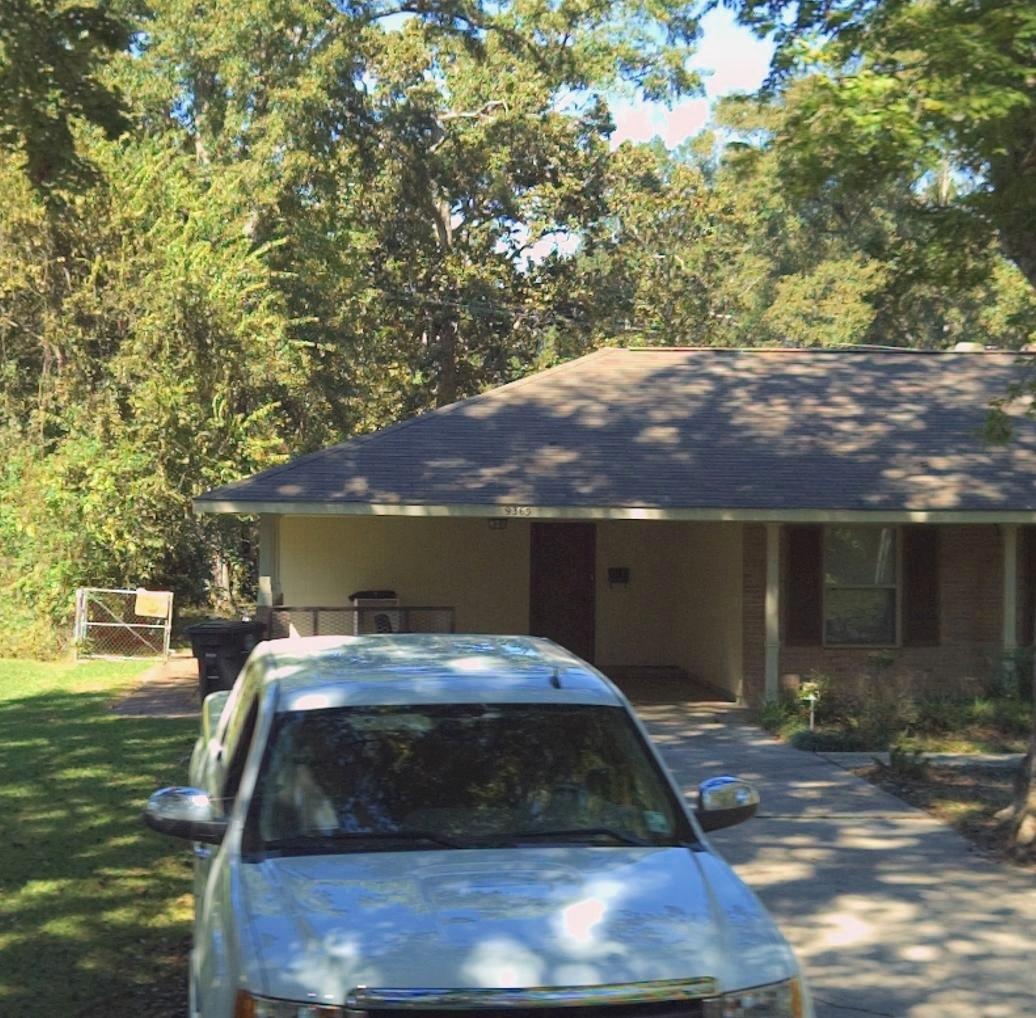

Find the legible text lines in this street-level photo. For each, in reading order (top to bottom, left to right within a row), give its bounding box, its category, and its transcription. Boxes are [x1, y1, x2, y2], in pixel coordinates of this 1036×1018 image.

[503, 506, 533, 517] StreetNumber: 9365